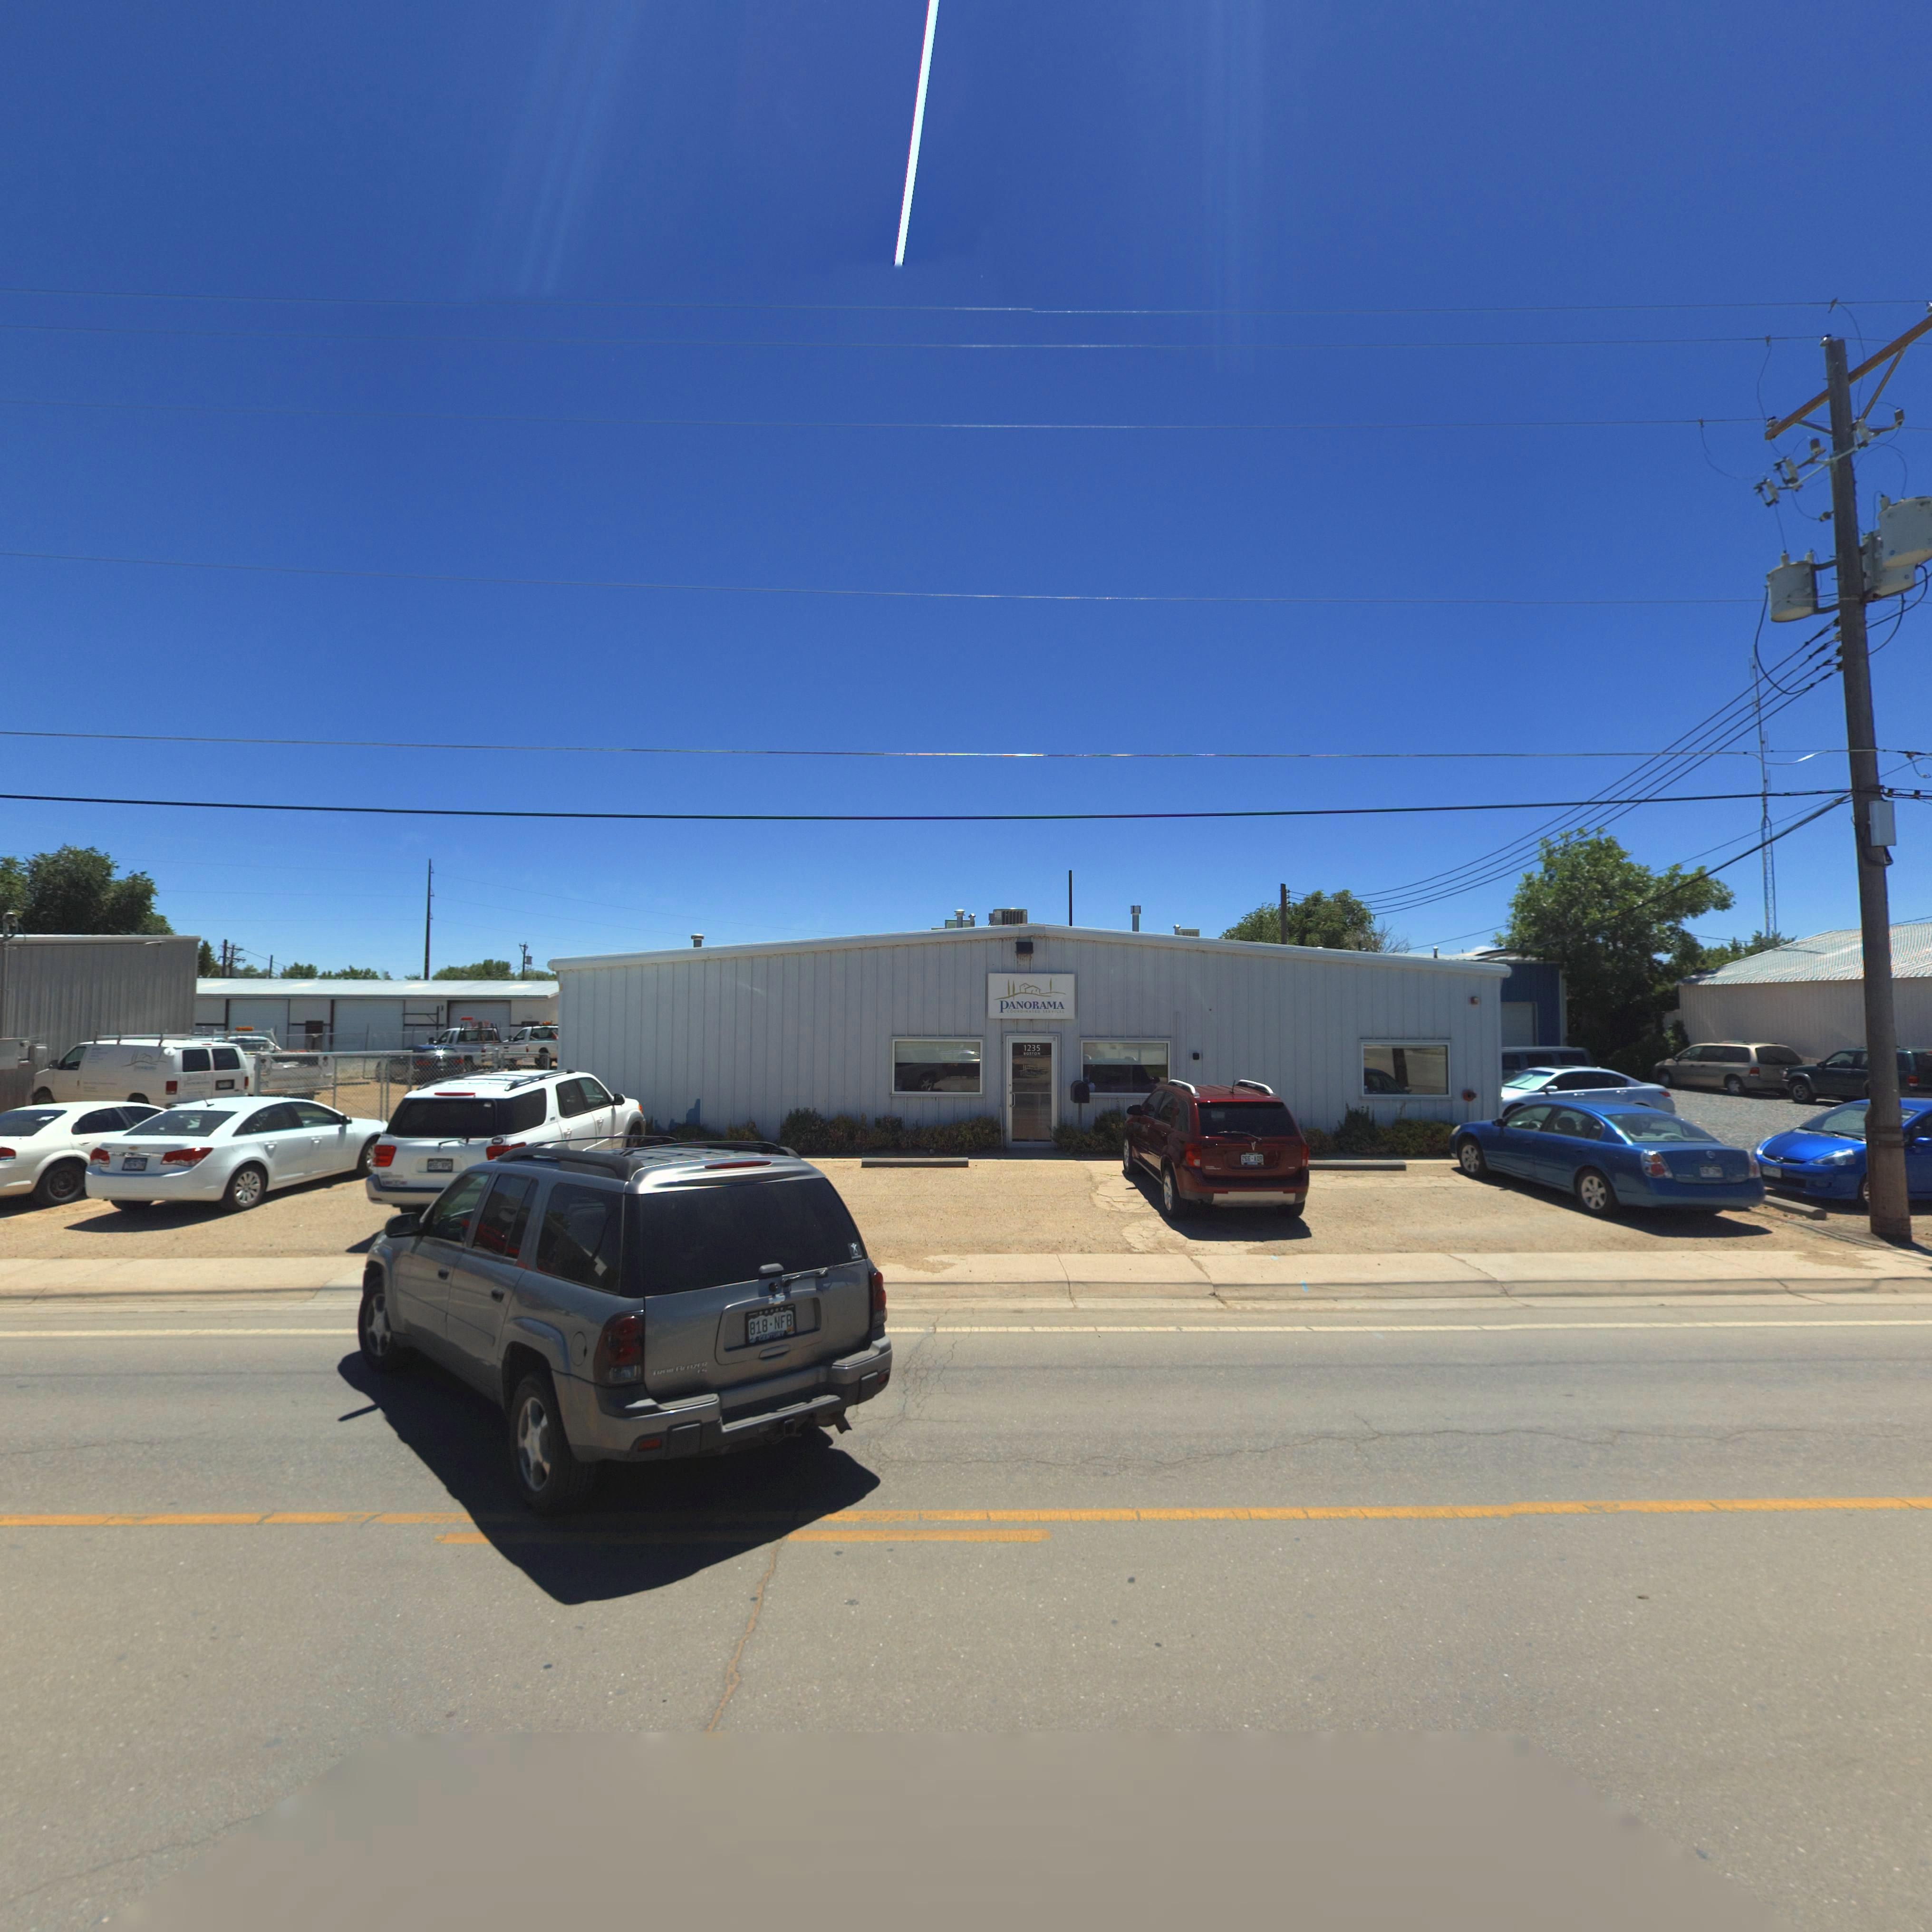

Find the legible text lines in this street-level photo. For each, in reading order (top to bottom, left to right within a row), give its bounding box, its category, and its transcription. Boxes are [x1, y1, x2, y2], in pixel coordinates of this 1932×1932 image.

[999, 999, 1065, 1013] BusinessName: PANORAMA
[1007, 1009, 1065, 1013] BusinessName: COORDINATED **RVIC*S
[1023, 1044, 1040, 1051] StreetNumber: 1235
[1023, 1052, 1040, 1055] StreetName: BOSTON
[1020, 1070, 1043, 1078] BusinessName: PA*O***